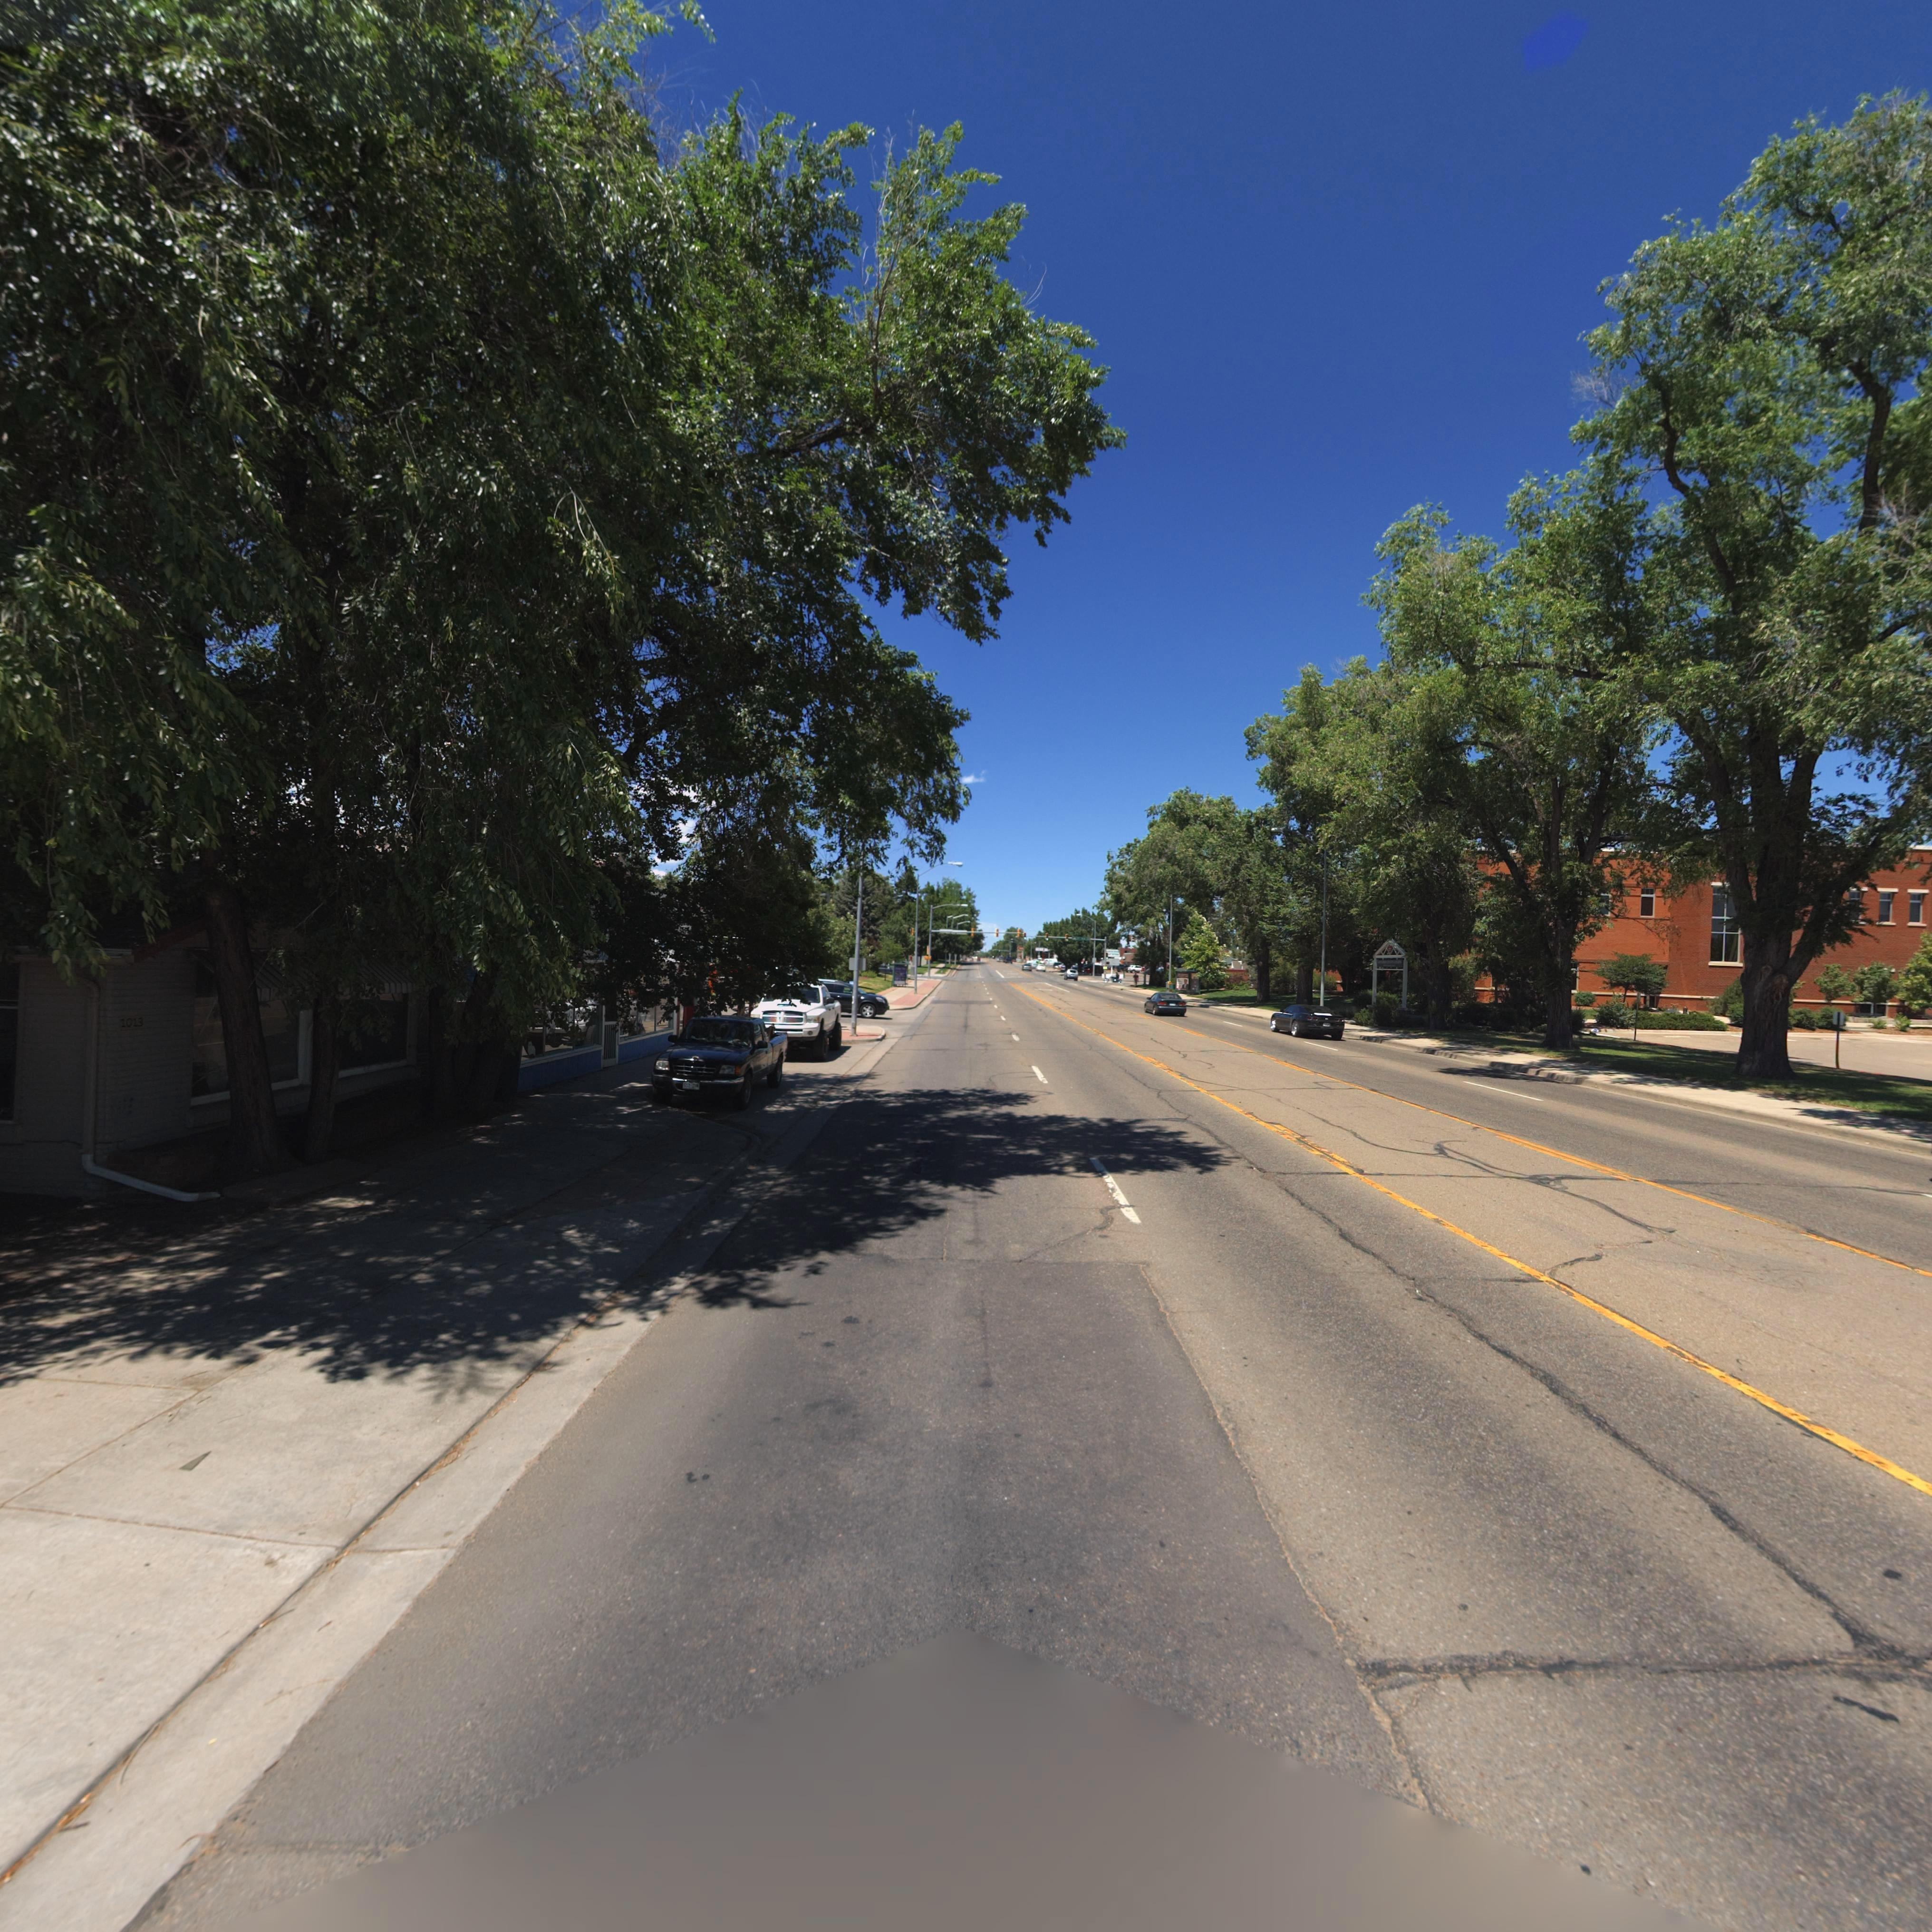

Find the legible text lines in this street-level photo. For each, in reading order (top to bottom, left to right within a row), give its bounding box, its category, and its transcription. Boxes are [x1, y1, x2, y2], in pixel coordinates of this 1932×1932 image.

[120, 1017, 144, 1028] StreetNumber: 1013